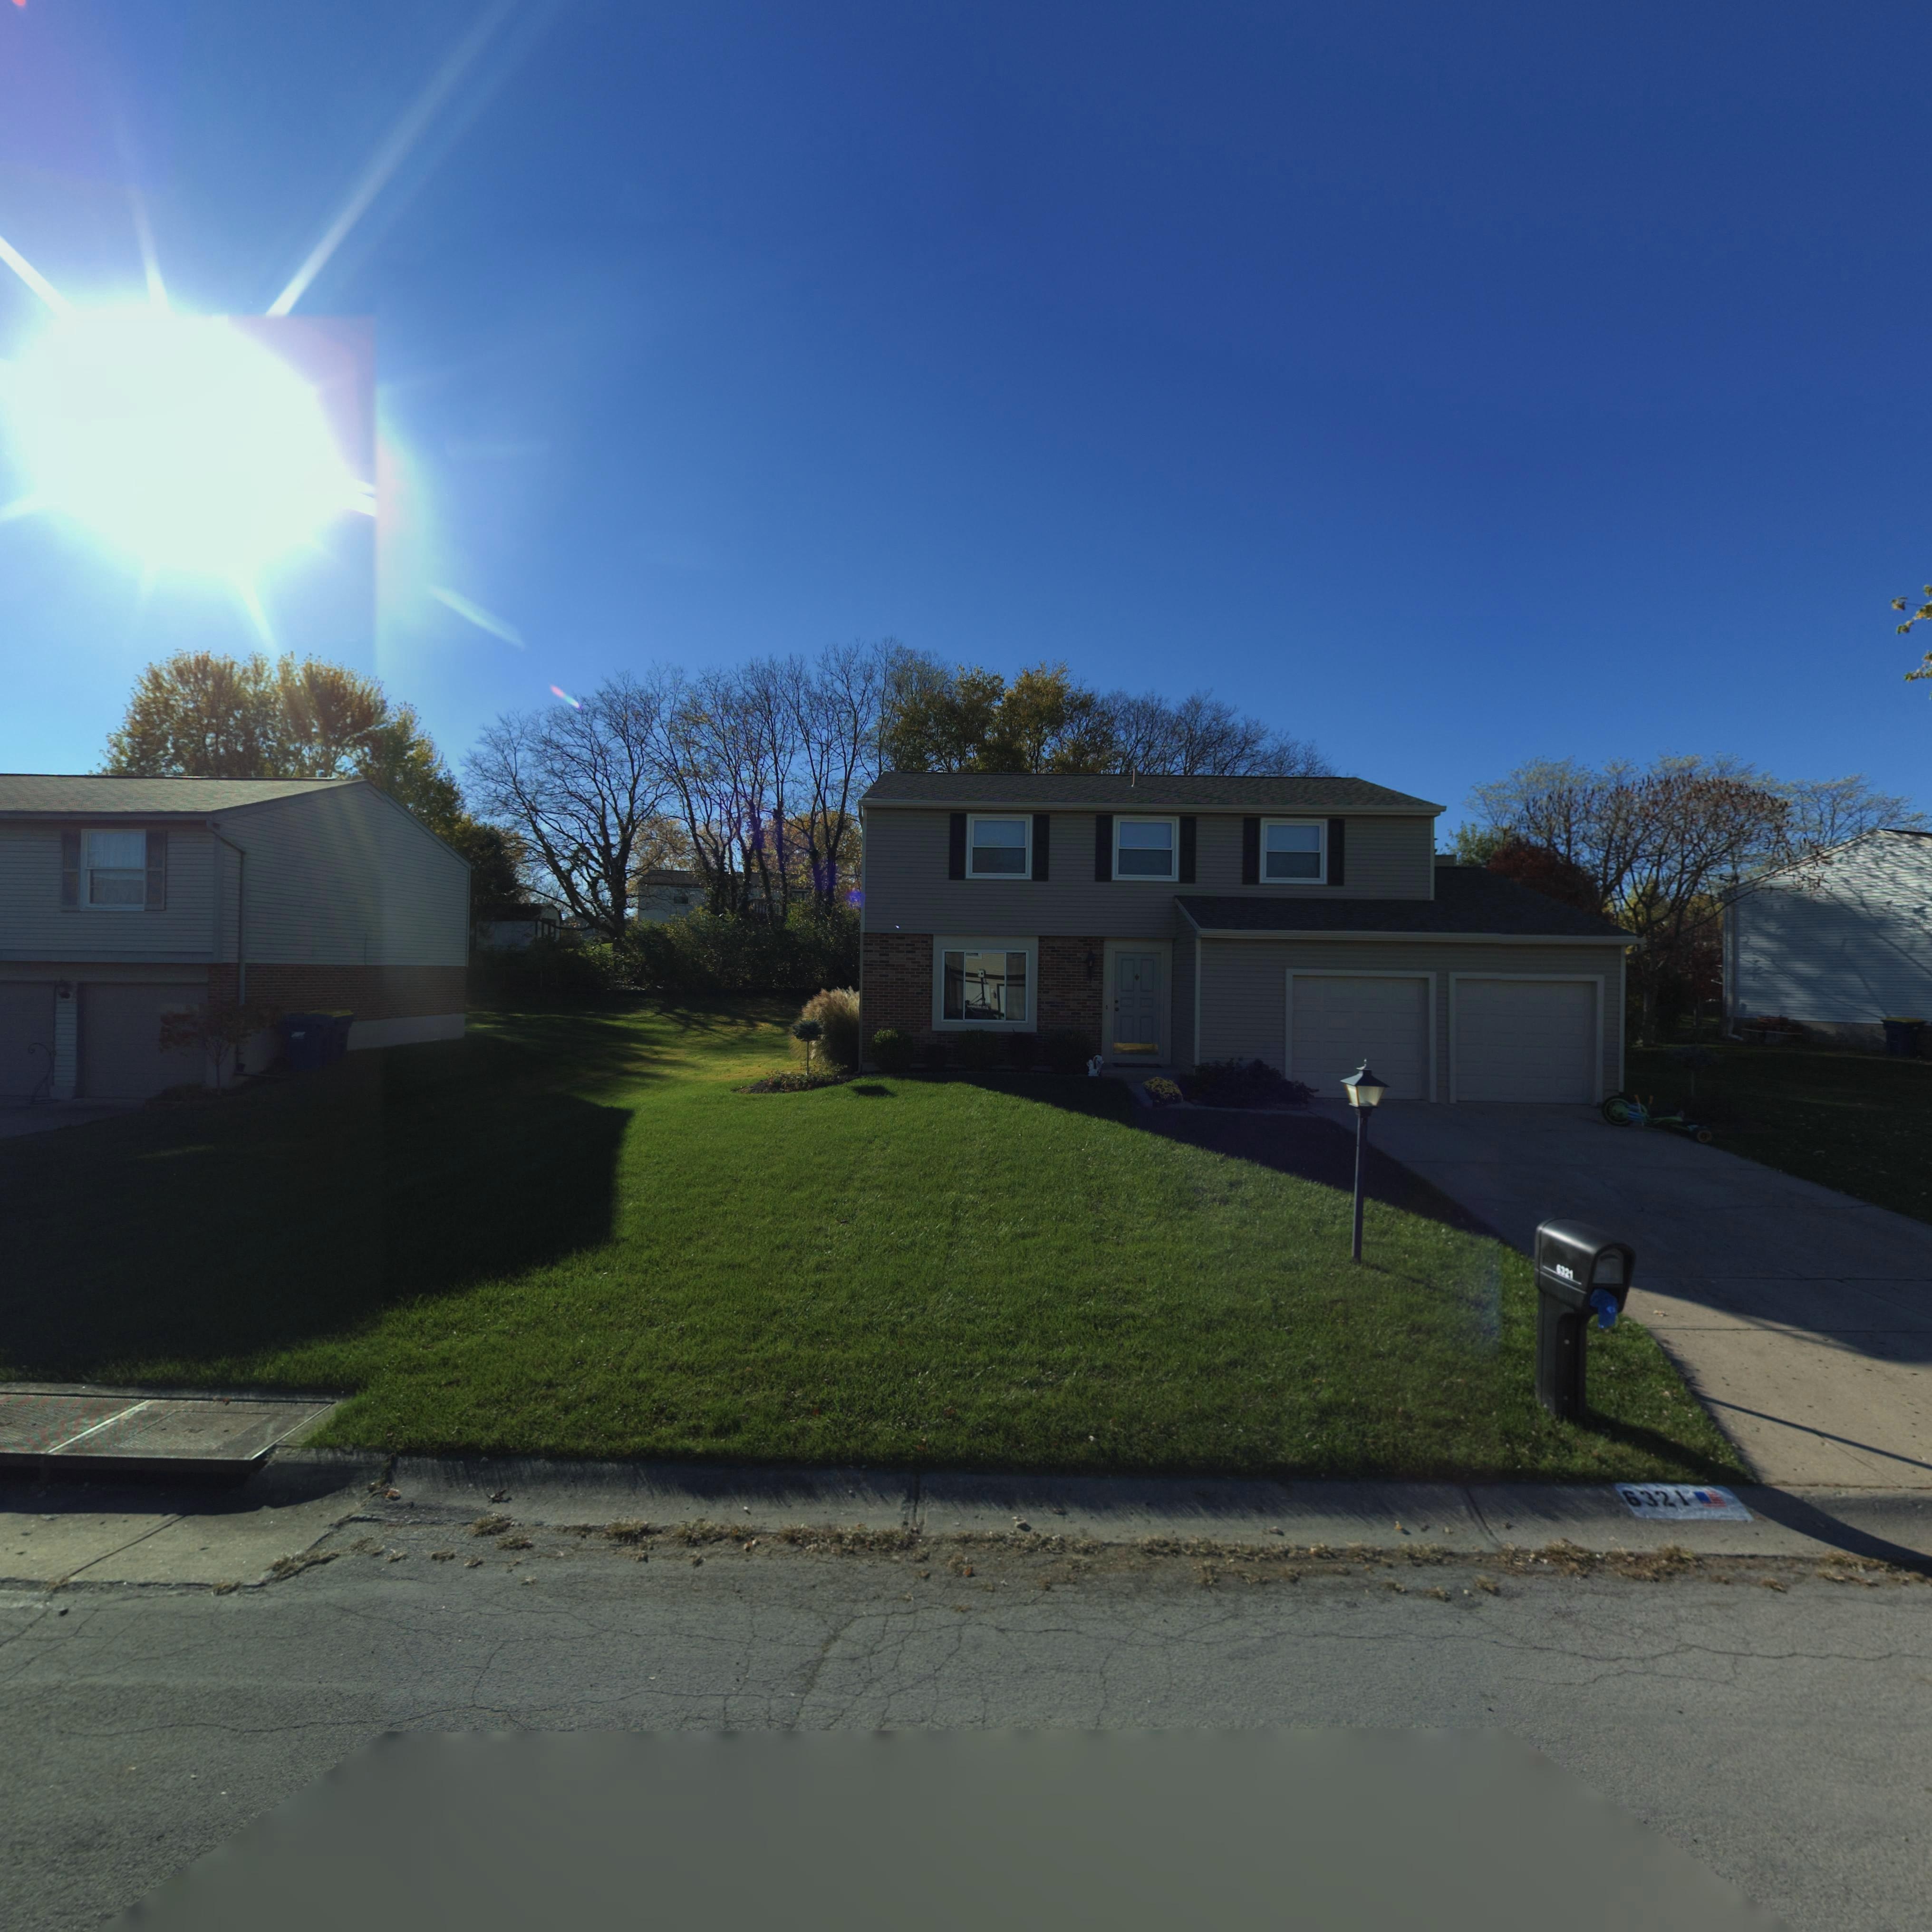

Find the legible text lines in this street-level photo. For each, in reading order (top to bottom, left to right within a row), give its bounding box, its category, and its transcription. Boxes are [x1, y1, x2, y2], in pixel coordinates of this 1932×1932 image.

[1555, 1263, 1575, 1282] StreetNumber: 6321
[1618, 1488, 1693, 1509] StreetNumber: 6321